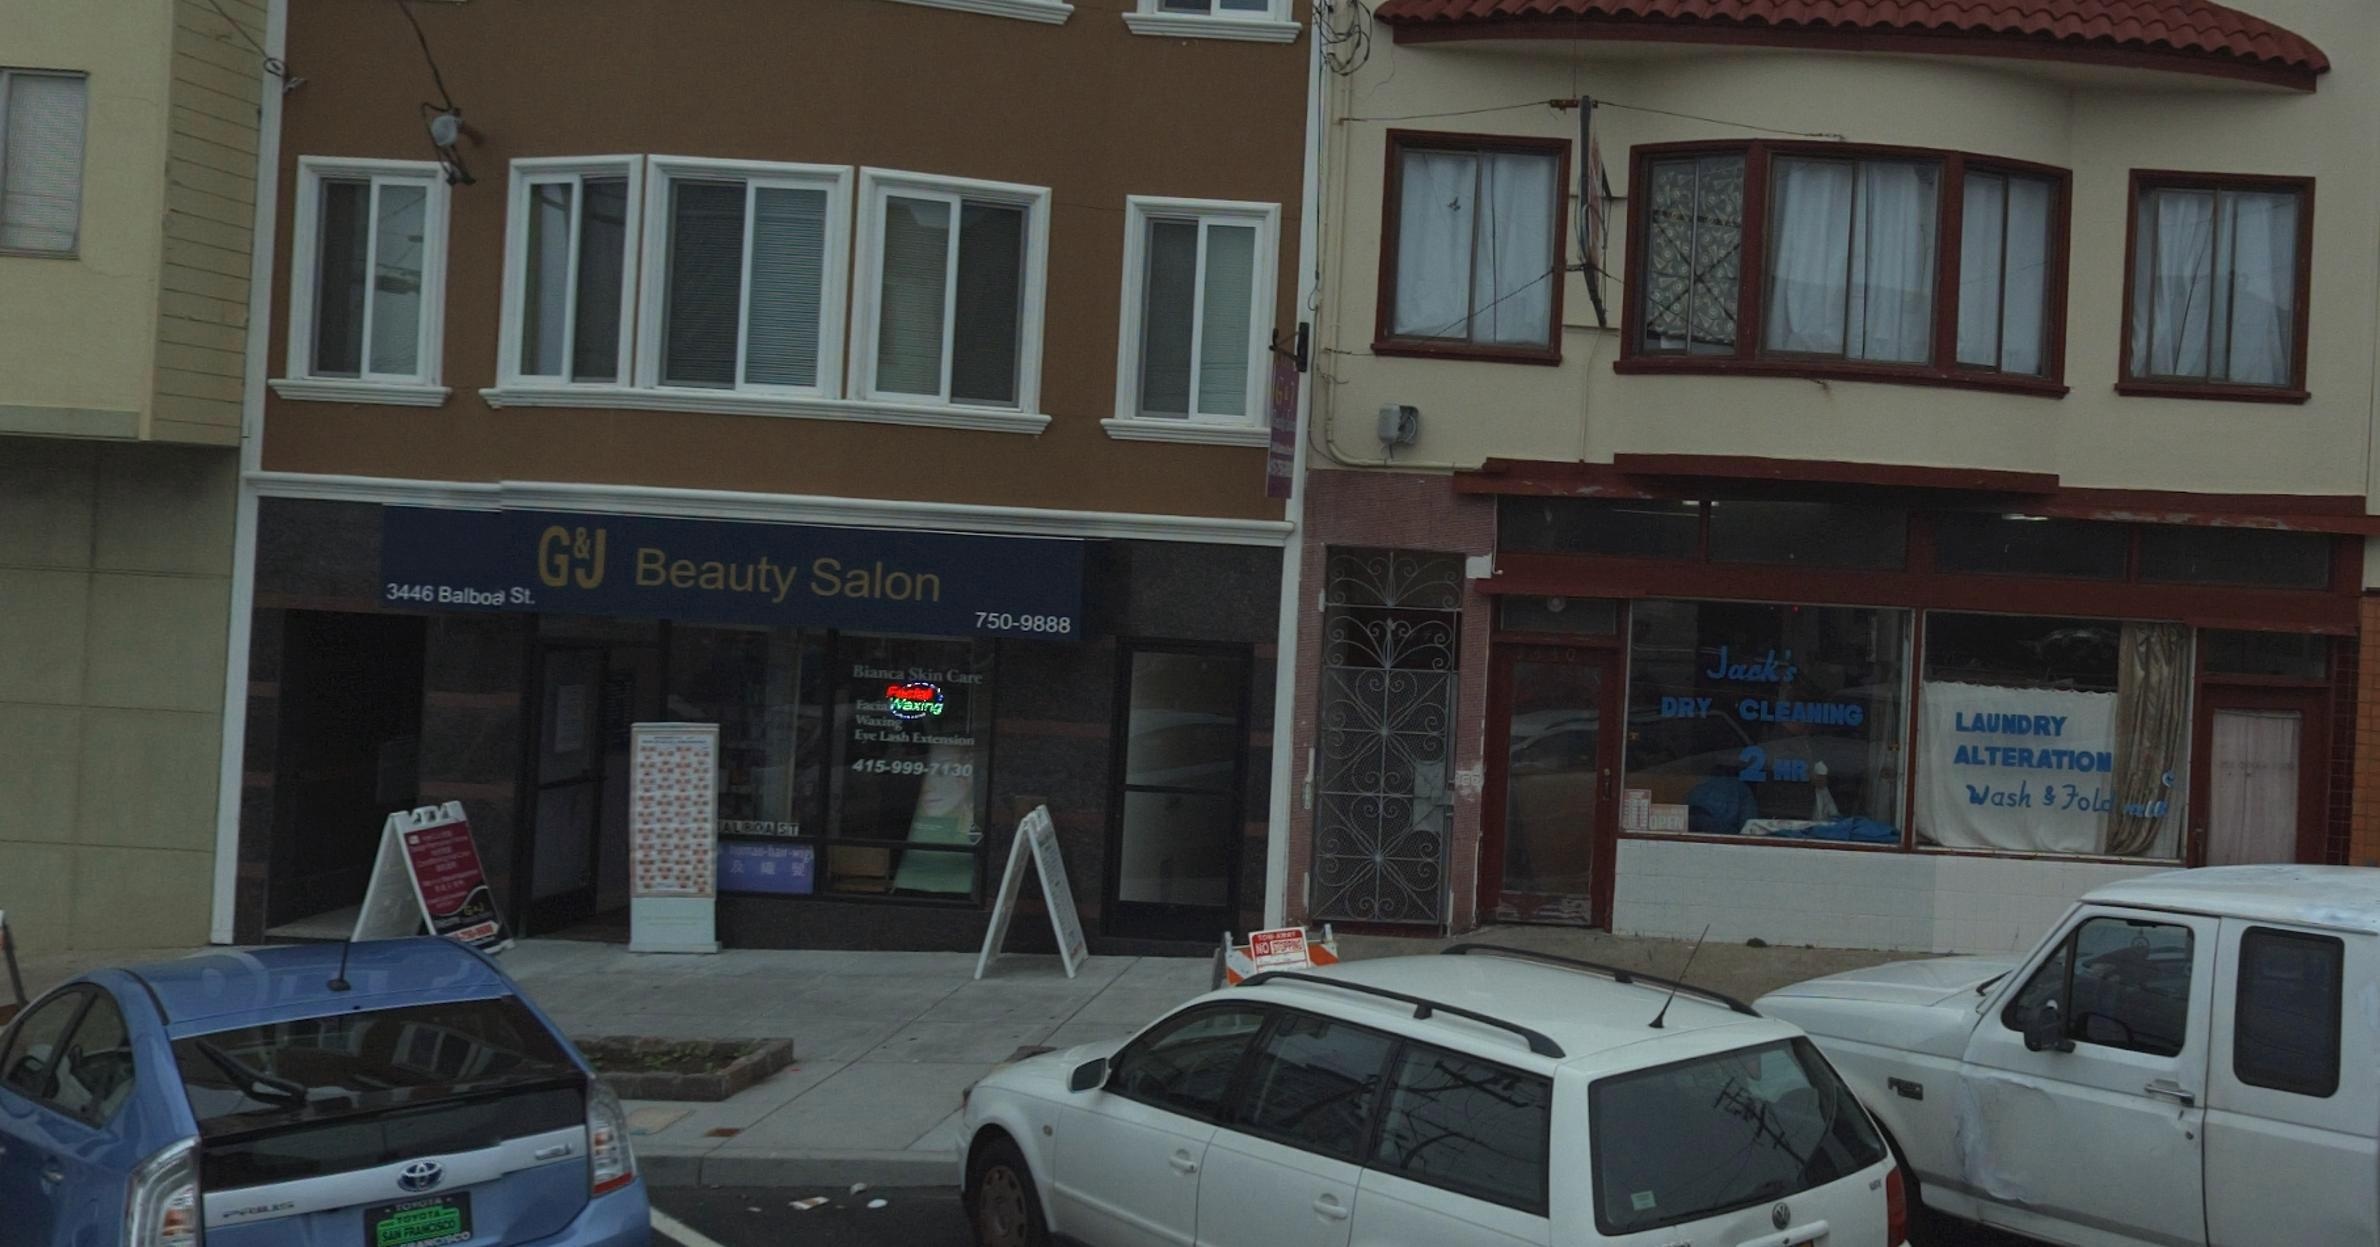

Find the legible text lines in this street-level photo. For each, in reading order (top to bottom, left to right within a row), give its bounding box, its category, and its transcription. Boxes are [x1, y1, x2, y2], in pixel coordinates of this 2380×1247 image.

[532, 521, 611, 593] BusinessName: G&J
[634, 545, 944, 610] BusinessName: Beauty Salon
[384, 581, 435, 605] StreetNumber: 3446
[436, 583, 539, 609] StreetName: Balboa St.
[972, 610, 1073, 636] None: 750-9888
[851, 662, 986, 688] None: BiancaSkinCare
[1514, 644, 1578, 664] StreetNumber: 3*40
[1704, 643, 1803, 684] BusinessName: Jack's
[855, 697, 892, 713] None: Facial
[854, 712, 906, 732] None: Waxing
[888, 695, 948, 718] None: Waxing
[1660, 695, 1866, 727] BusinessName: DRY CLEANING
[1954, 710, 2071, 737] None: LAUNDRY
[853, 727, 976, 746] None: Eye Lash Extension
[850, 757, 975, 778] None: 415-999-7130
[1737, 744, 1812, 783] None: 2 HR
[1950, 743, 2113, 773] None: ALTERATION
[1964, 778, 2117, 813] None: Wash & Fold
[721, 820, 798, 836] StreetName: ALBOA ST
[1647, 814, 1686, 832] None: OPEN
[727, 843, 815, 864] None: human-hair-wig
[462, 899, 487, 919] None: G&J
[1255, 929, 1298, 942] None: TOW AWAY
[1253, 937, 1305, 956] None: NO STOPPING
[220, 1199, 297, 1220] None: PRIUS
[394, 1207, 443, 1226] BusinessName: TOYOTA
[393, 1195, 446, 1213] BusinessName: TOYOTA
[380, 1217, 458, 1243] None: SAN FRANCISCO